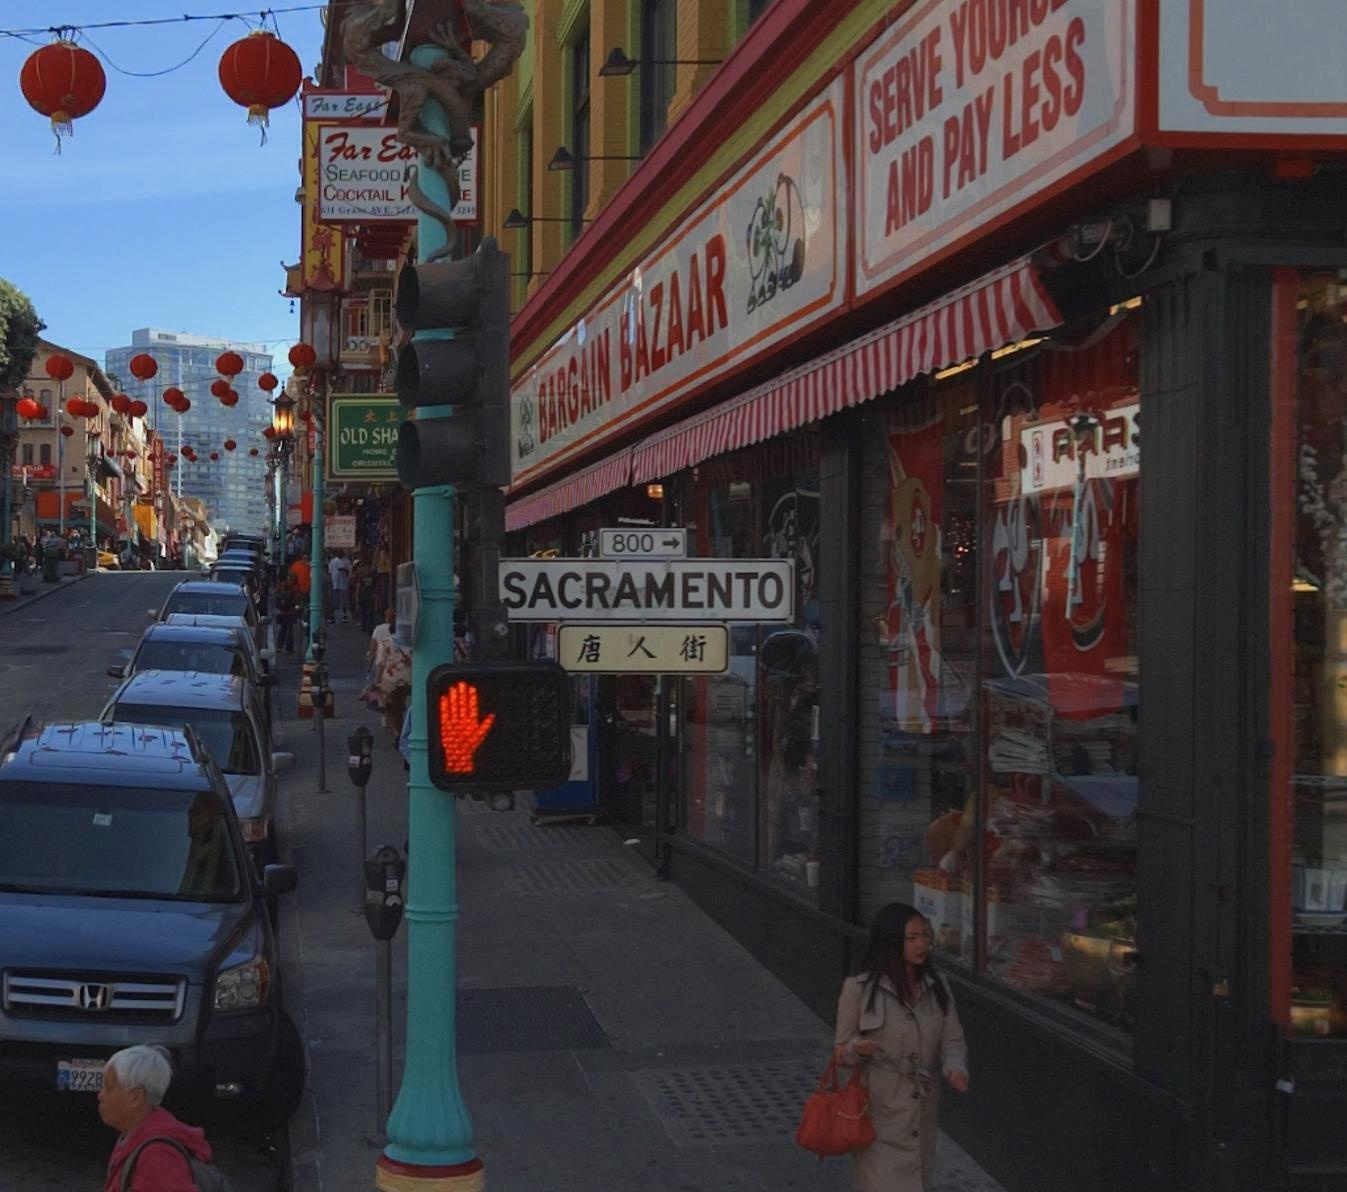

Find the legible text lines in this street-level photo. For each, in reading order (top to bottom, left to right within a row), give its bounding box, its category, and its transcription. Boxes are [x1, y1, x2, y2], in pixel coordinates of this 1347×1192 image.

[865, 1, 970, 159] None: SERVE Y
[308, 90, 365, 115] BusinessName: Far Ea
[883, 10, 1090, 245] None: AND PAY LESS
[323, 130, 416, 168] BusinessName: Far Ea
[324, 163, 403, 184] BusinessName: SEAFOOD
[460, 167, 473, 184] None: E
[321, 182, 398, 204] None: COCKTAIL
[461, 187, 474, 204] None: E
[535, 228, 738, 448] BusinessName: BARGAIN BAZAAR
[337, 423, 392, 448] BusinessName: OLD SH
[1049, 412, 1132, 467] None: A*A
[609, 532, 685, 555] StreetNumberRange: 800->'
[500, 566, 787, 613] StreetName: SACRAMENTO
[68, 1068, 105, 1087] None: 9928